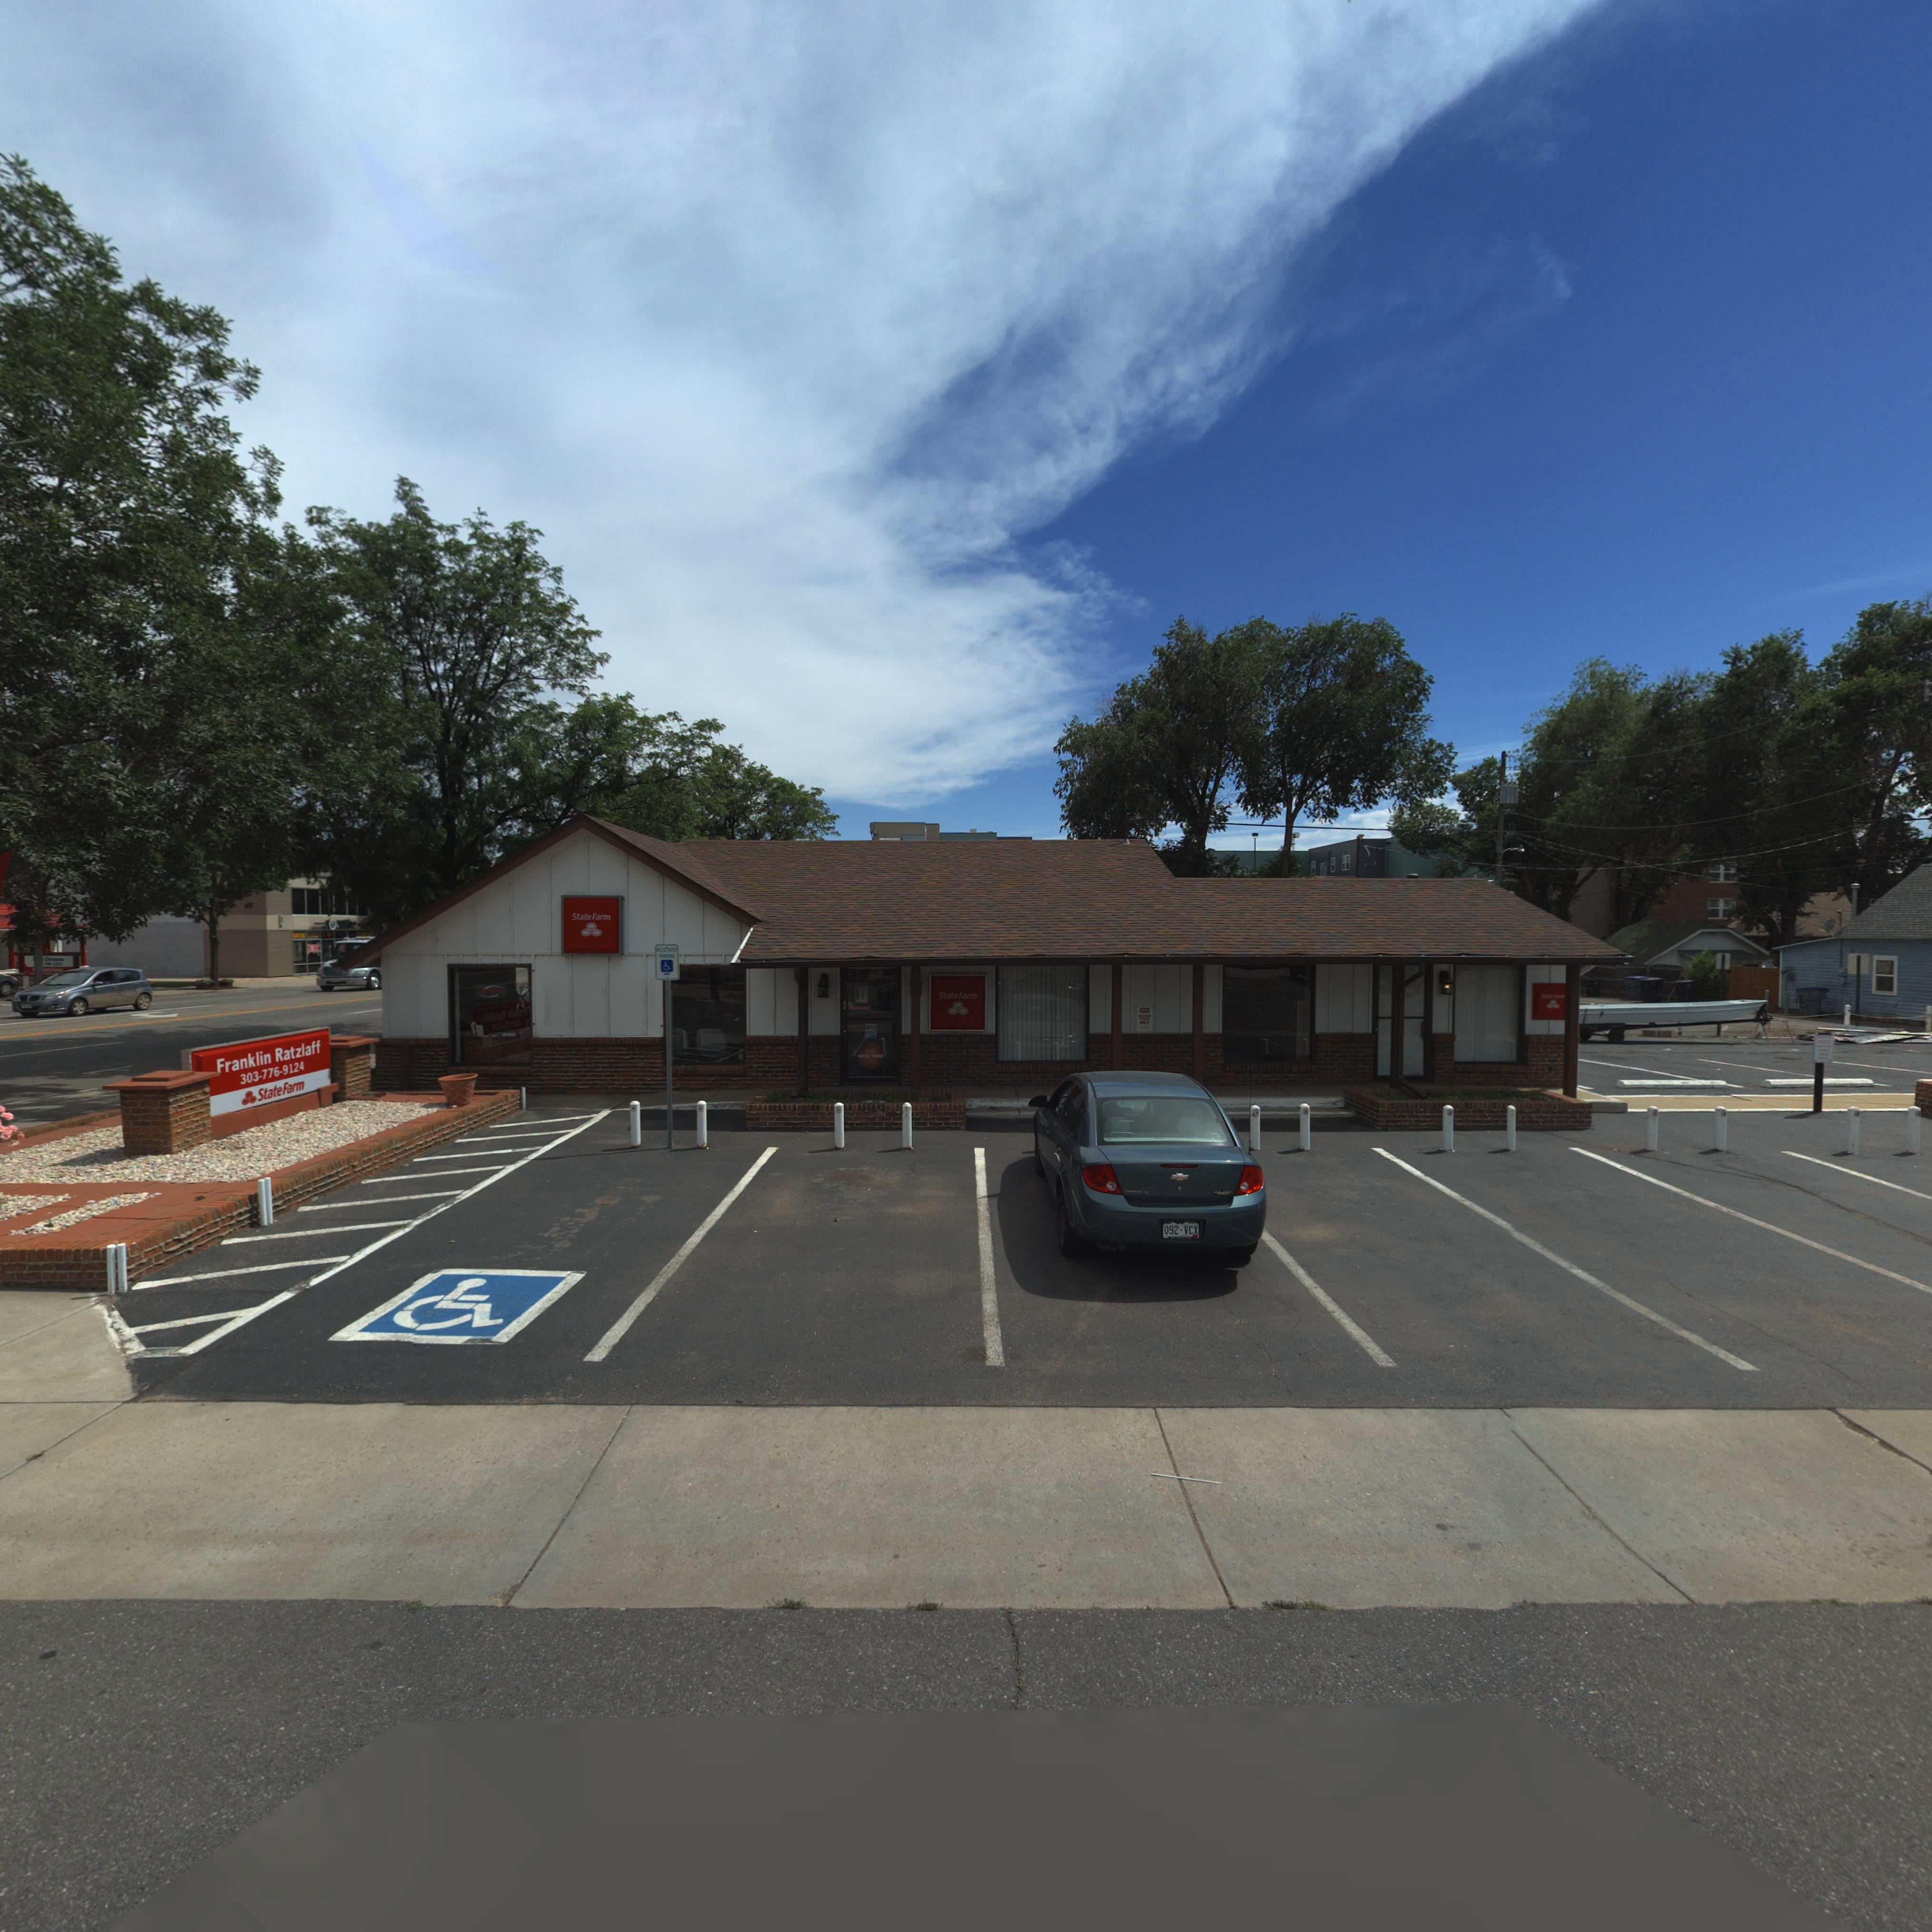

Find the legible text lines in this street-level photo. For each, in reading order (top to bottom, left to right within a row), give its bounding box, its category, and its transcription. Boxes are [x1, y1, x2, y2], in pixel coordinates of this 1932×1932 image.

[571, 912, 611, 920] BusinessName: StateFarm
[42, 967, 64, 972] BusinessName: *****F***
[938, 991, 977, 999] BusinessName: StateFarm
[1541, 993, 1565, 999] BusinessName: St***F***
[257, 1080, 305, 1101] BusinessName: StateFarm